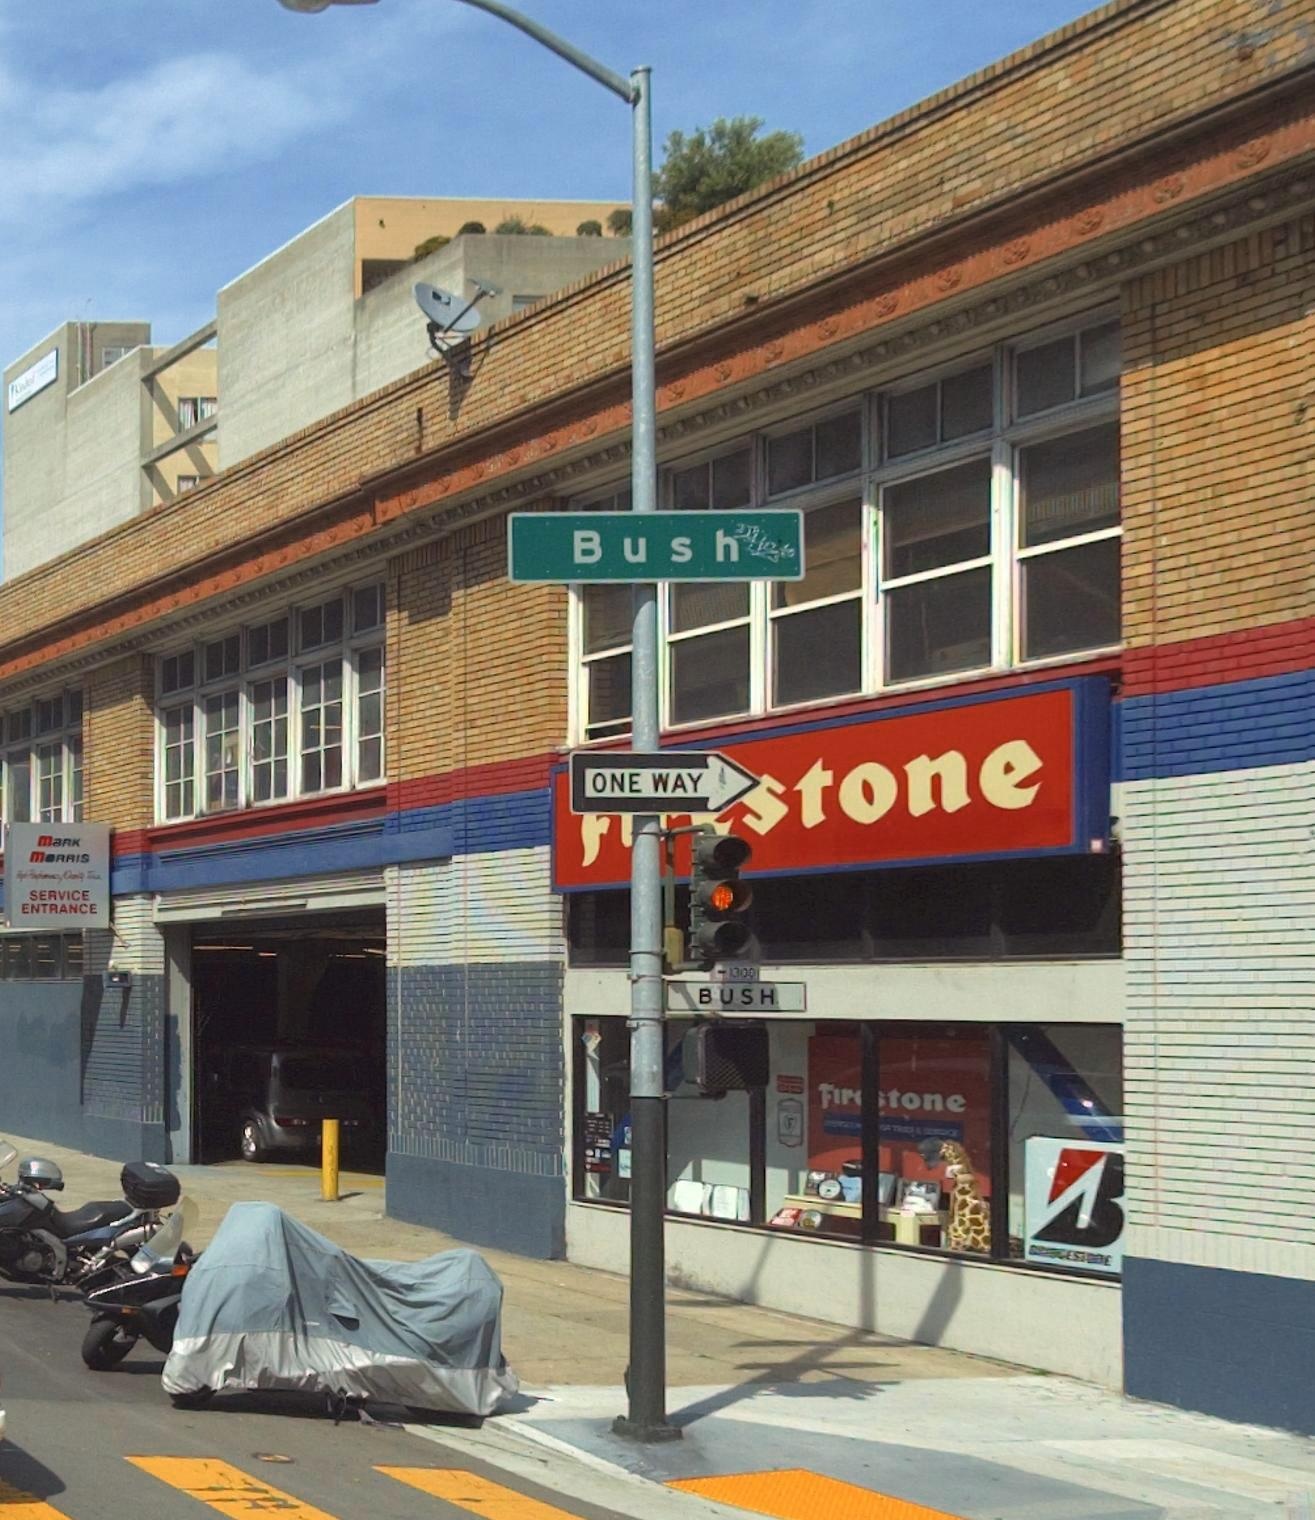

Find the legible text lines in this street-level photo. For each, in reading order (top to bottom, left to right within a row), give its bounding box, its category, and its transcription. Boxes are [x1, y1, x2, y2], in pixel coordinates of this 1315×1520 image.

[569, 526, 743, 566] StreetName: Bush
[589, 768, 707, 798] None: ONE WAY
[786, 732, 1052, 836] BusinessName: tone
[34, 831, 84, 850] BusinessName: MaRK
[25, 847, 93, 867] BusinessName: M*RRIS
[27, 886, 92, 903] None: SERVICE
[19, 901, 100, 918] None: ENTRANCE
[714, 965, 757, 980] StreetNumberRange: <-1300
[697, 986, 776, 1007] StreetName: Bush < [1300]
[817, 1080, 970, 1115] BusinessName: Fir**tone